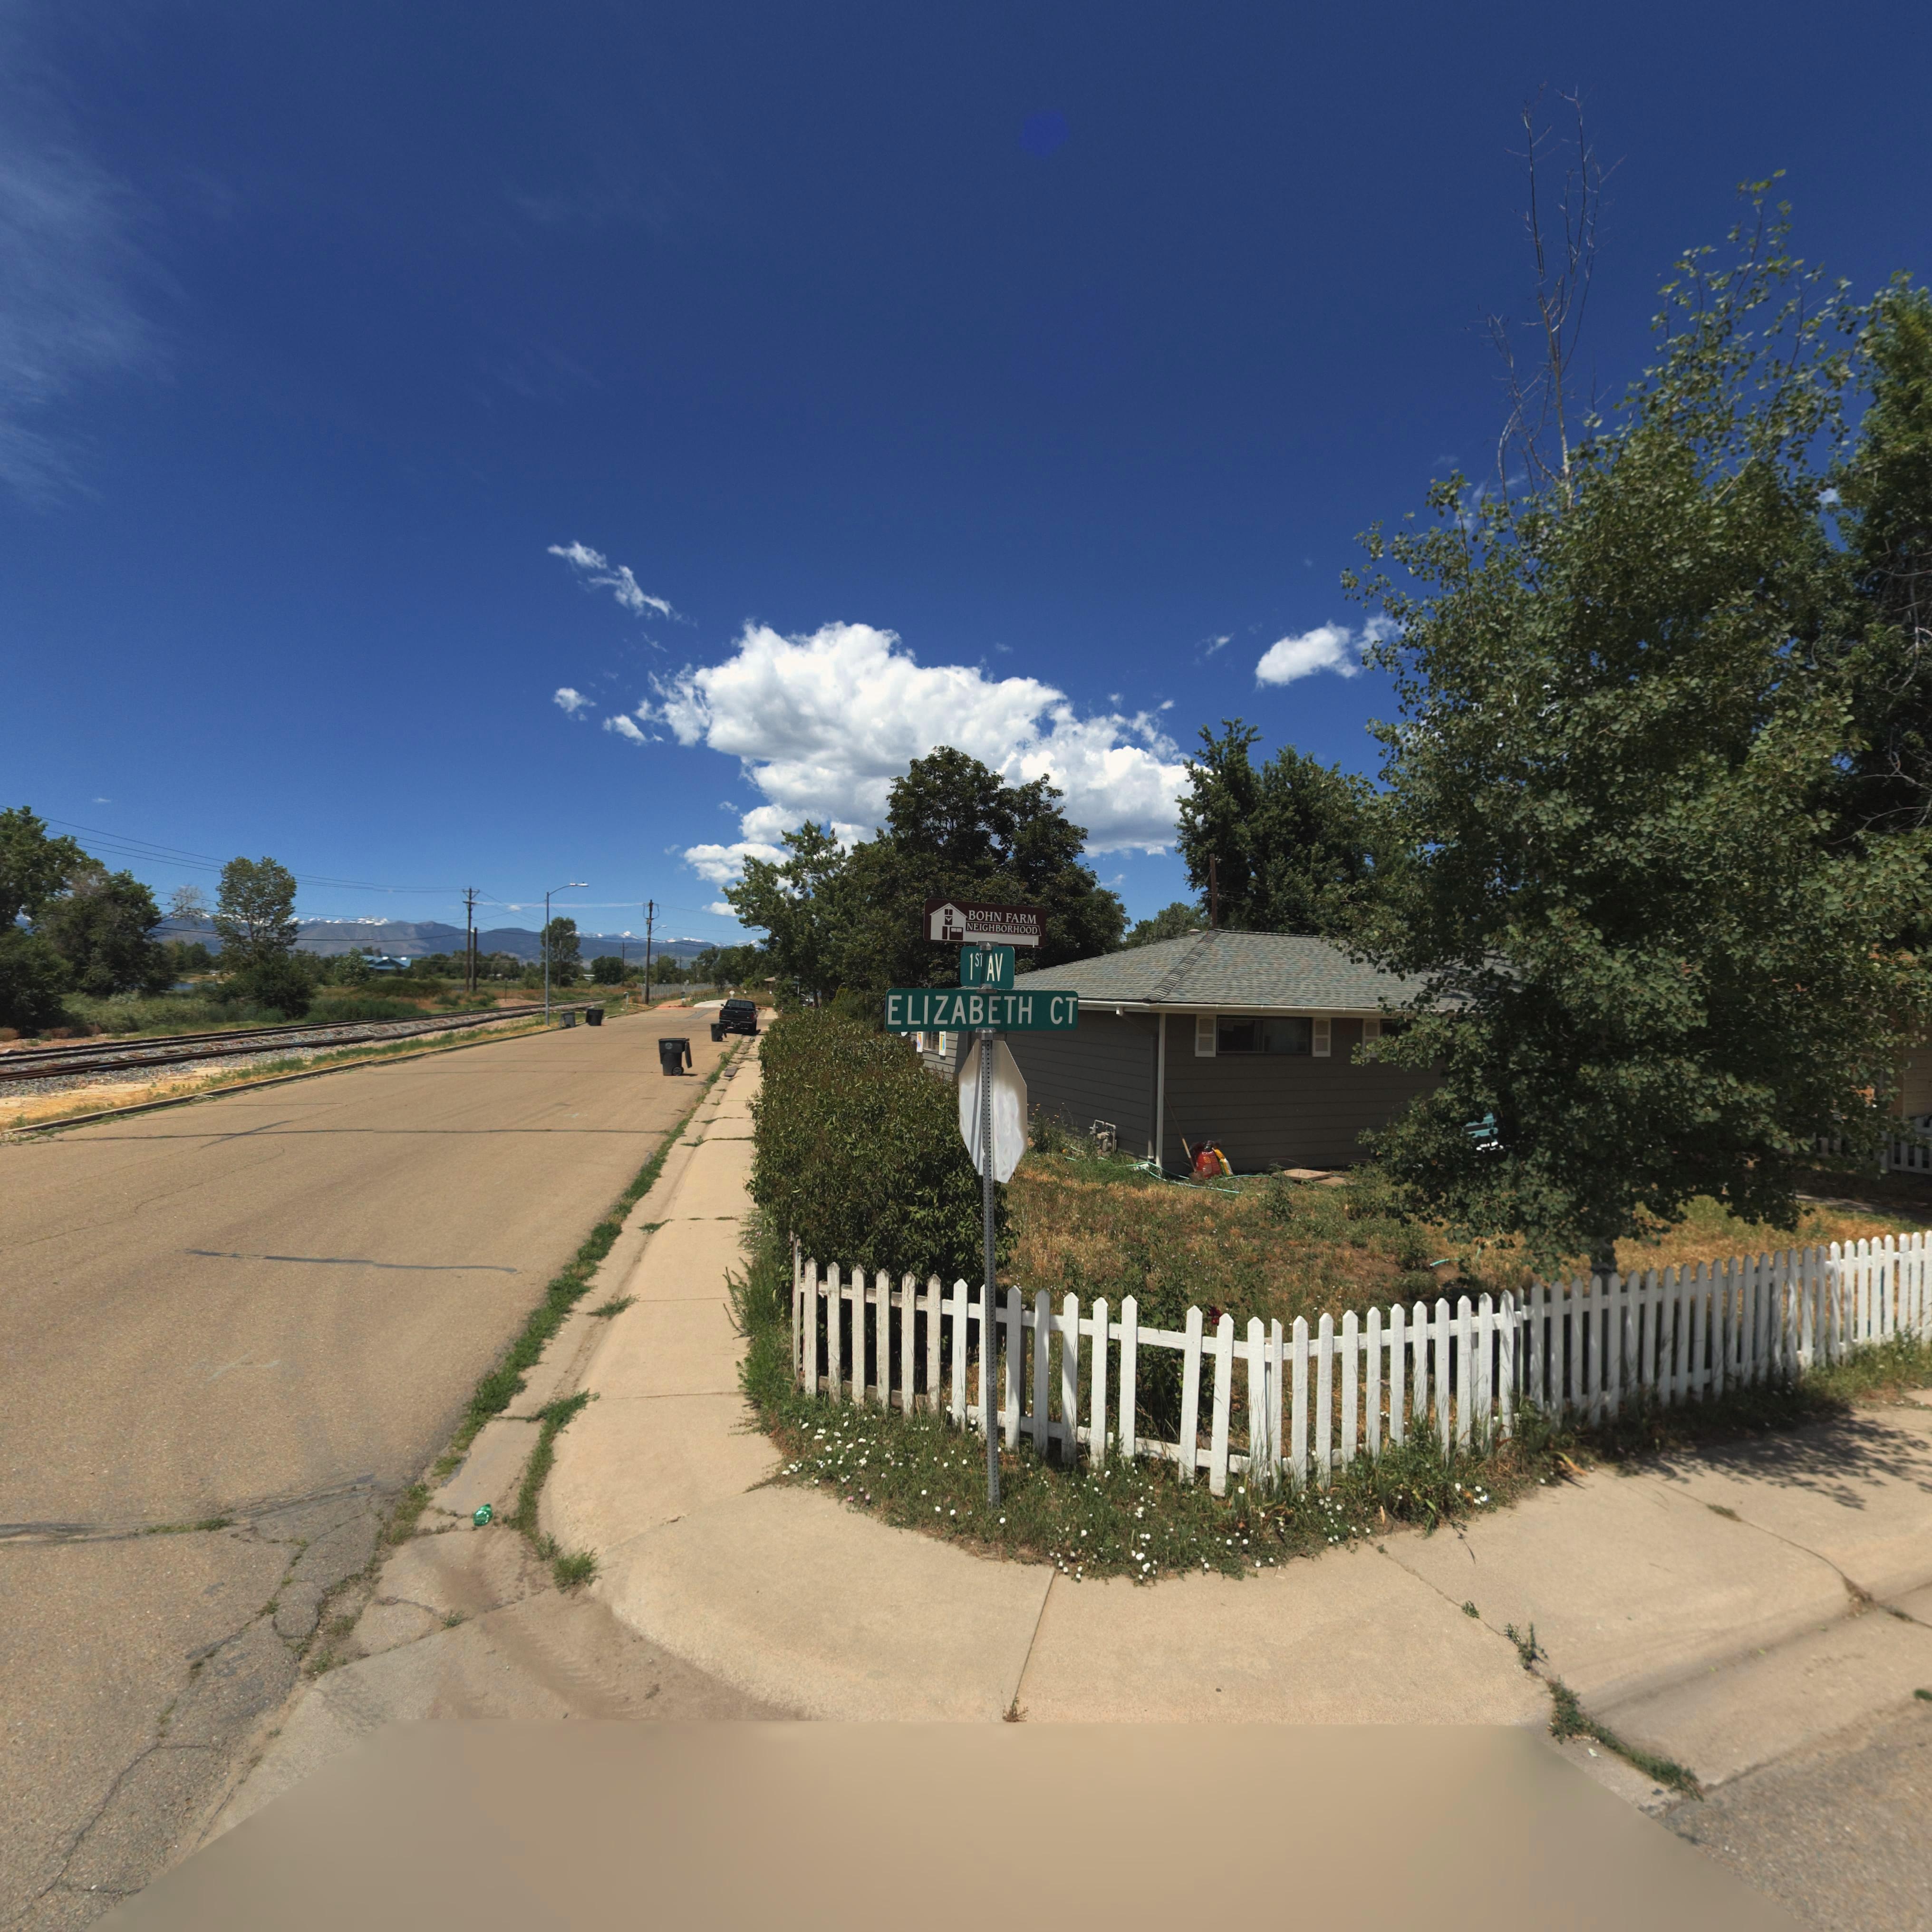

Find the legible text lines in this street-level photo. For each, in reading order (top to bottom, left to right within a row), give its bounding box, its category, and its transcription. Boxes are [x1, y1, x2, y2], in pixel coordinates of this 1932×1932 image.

[968, 952, 1005, 982] StreetName: 1ST AV
[887, 993, 1078, 1026] StreetName: ELIZABETH CT